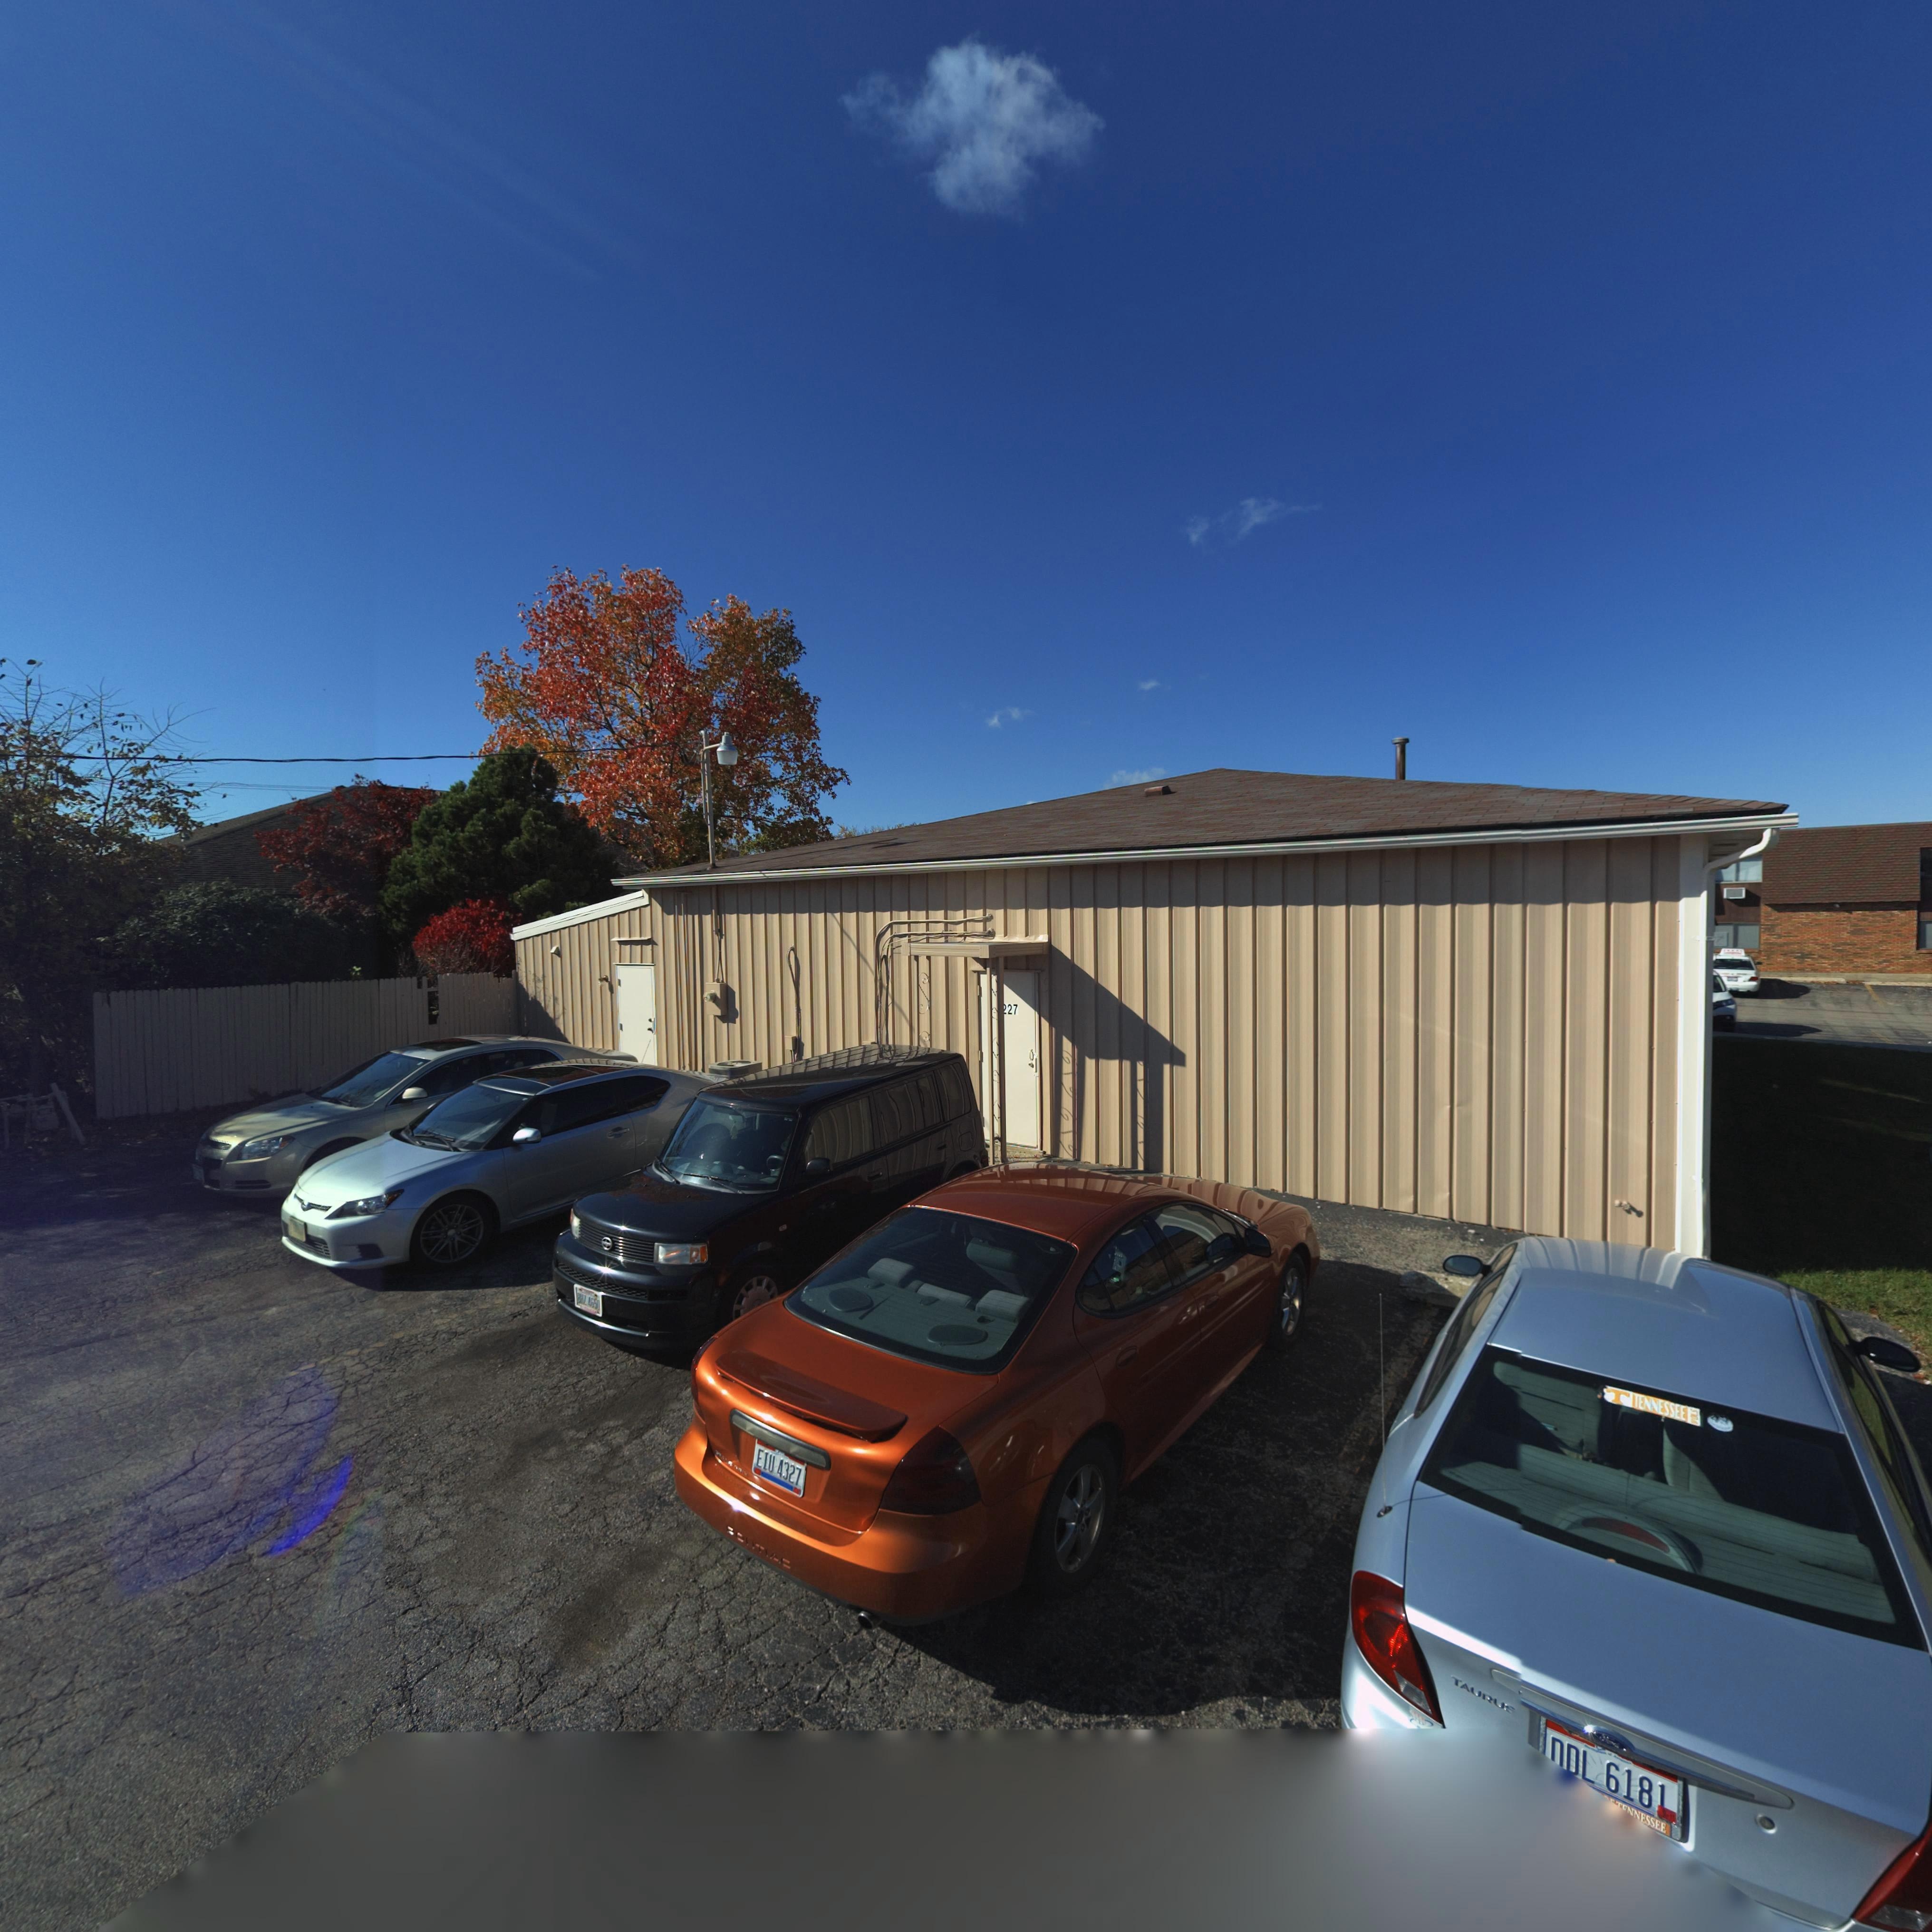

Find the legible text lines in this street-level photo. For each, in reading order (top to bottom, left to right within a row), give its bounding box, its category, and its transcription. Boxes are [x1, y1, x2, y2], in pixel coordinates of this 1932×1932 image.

[1007, 1003, 1018, 1015] StreetNumber: 27